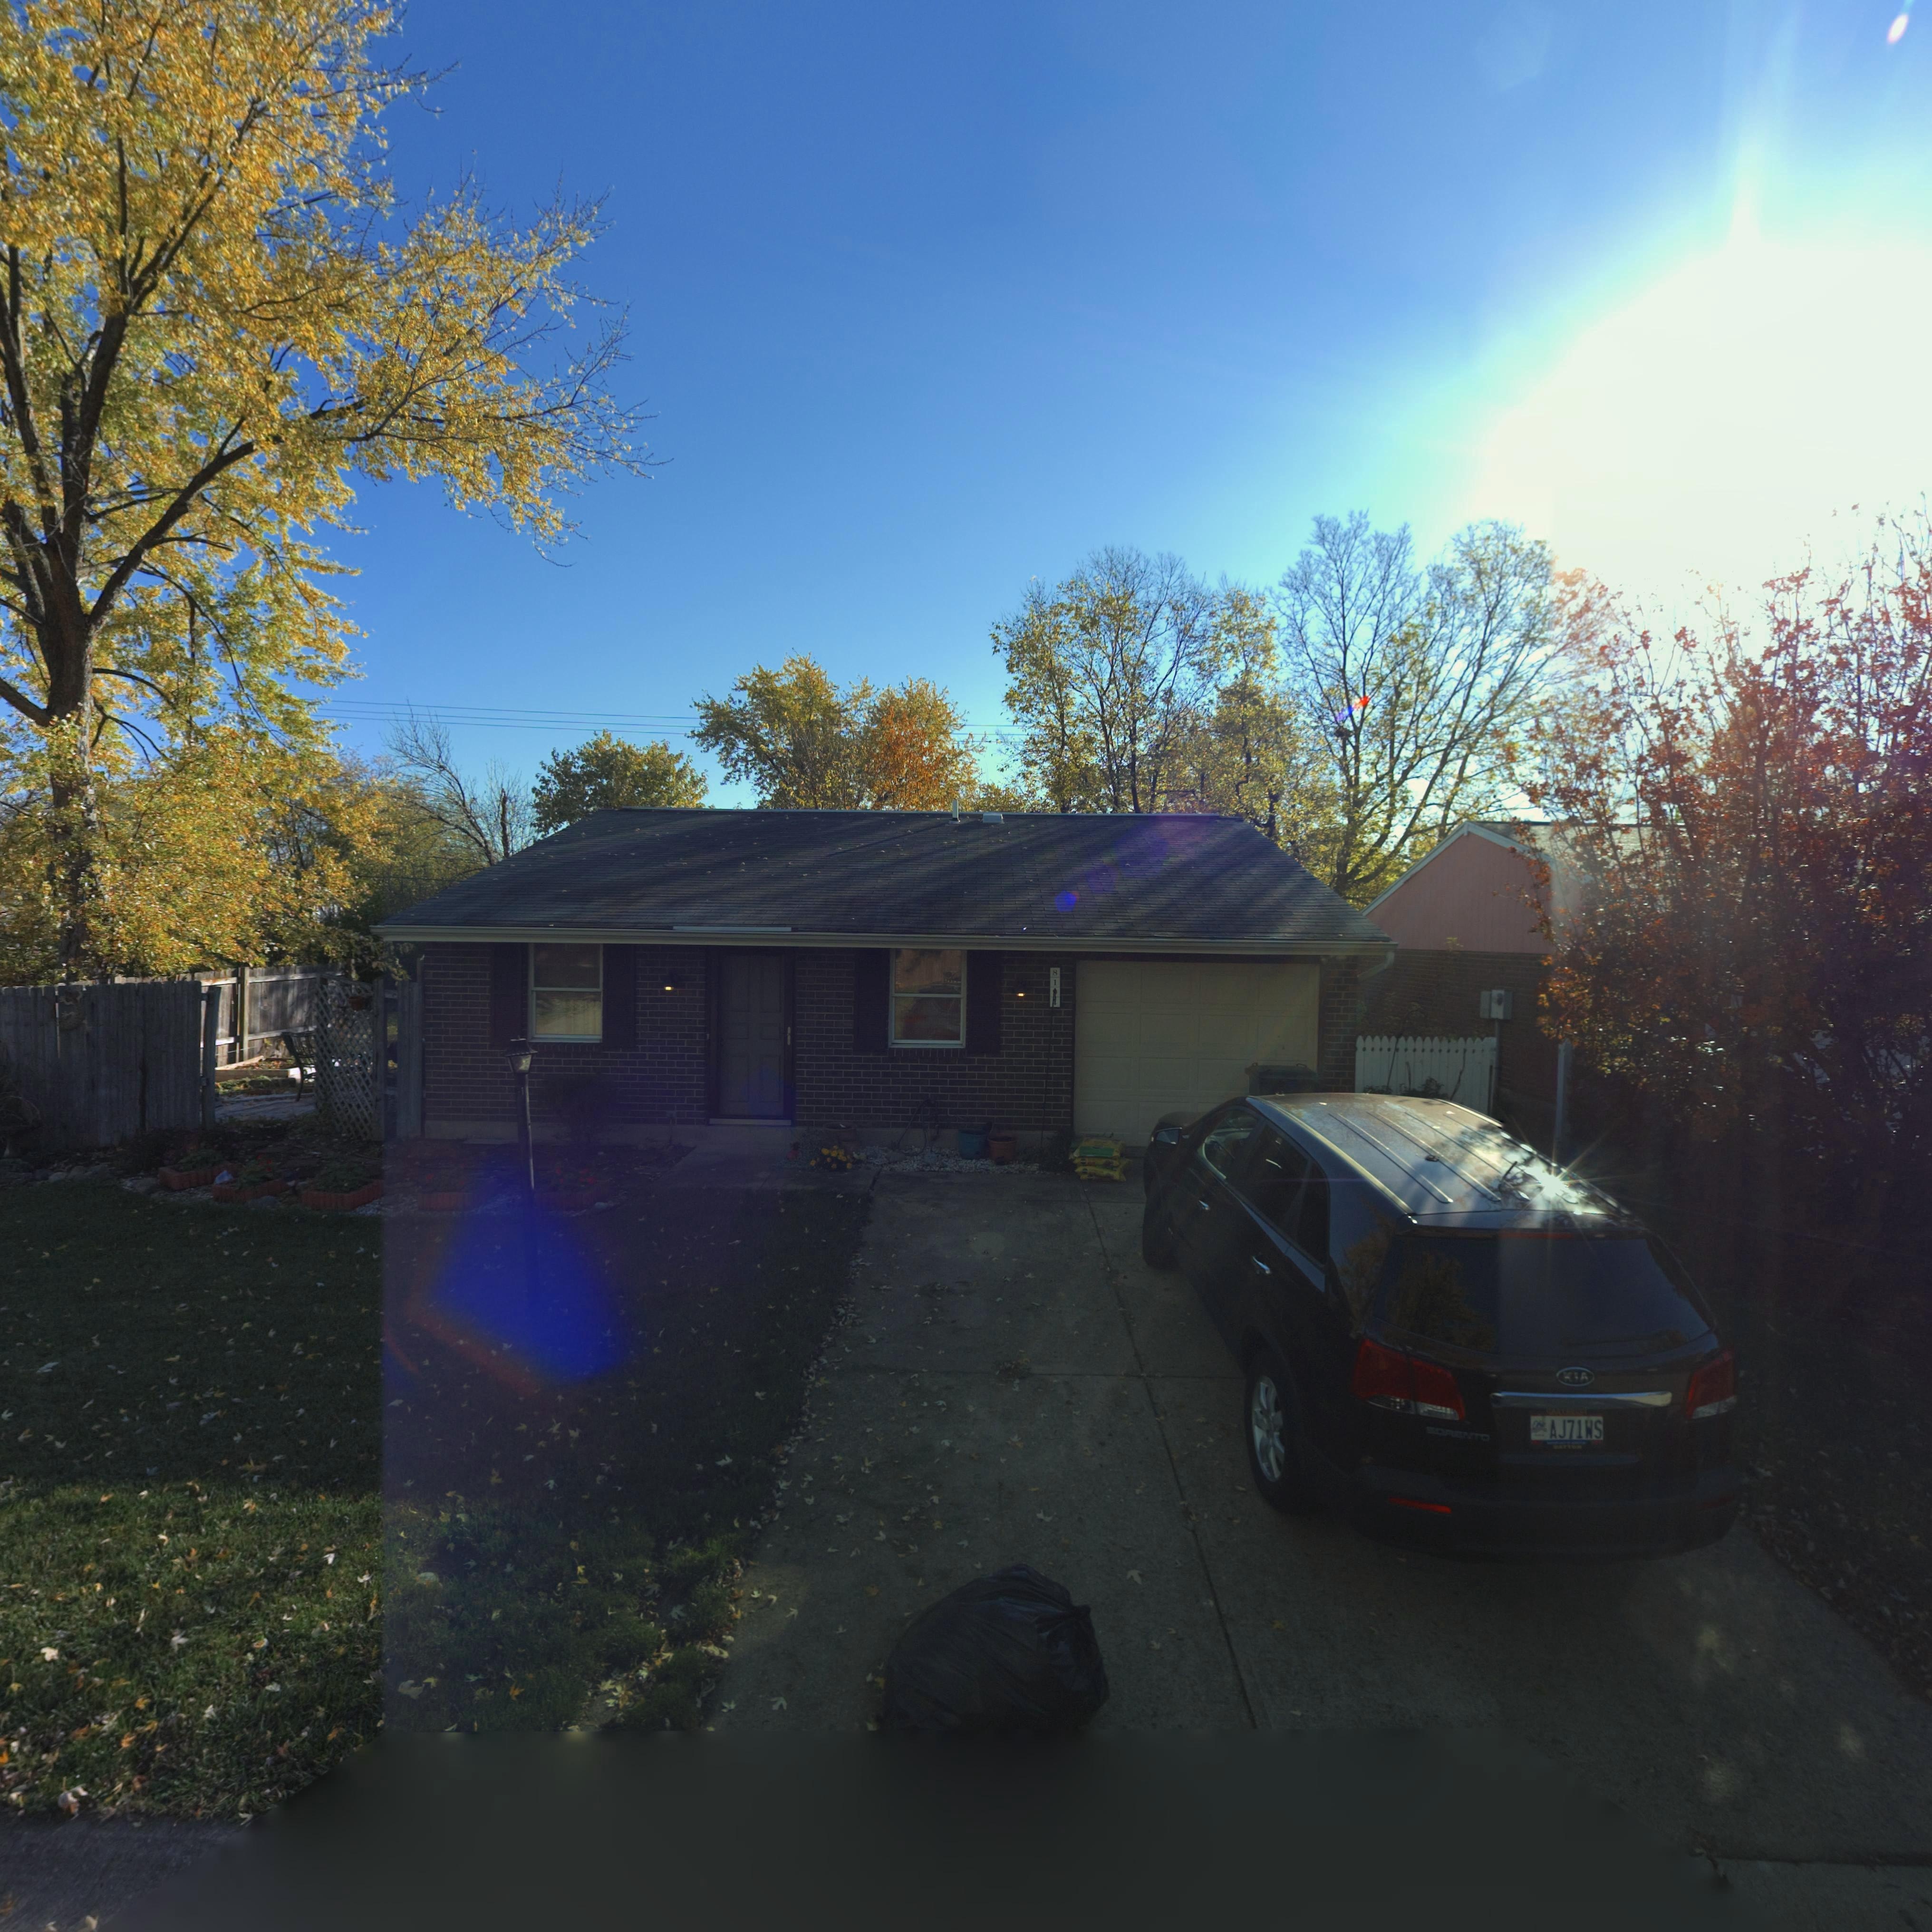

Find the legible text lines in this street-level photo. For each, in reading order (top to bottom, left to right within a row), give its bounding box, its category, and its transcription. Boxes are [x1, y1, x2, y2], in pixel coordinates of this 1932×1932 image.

[1051, 968, 1059, 987] StreetNumber: 81